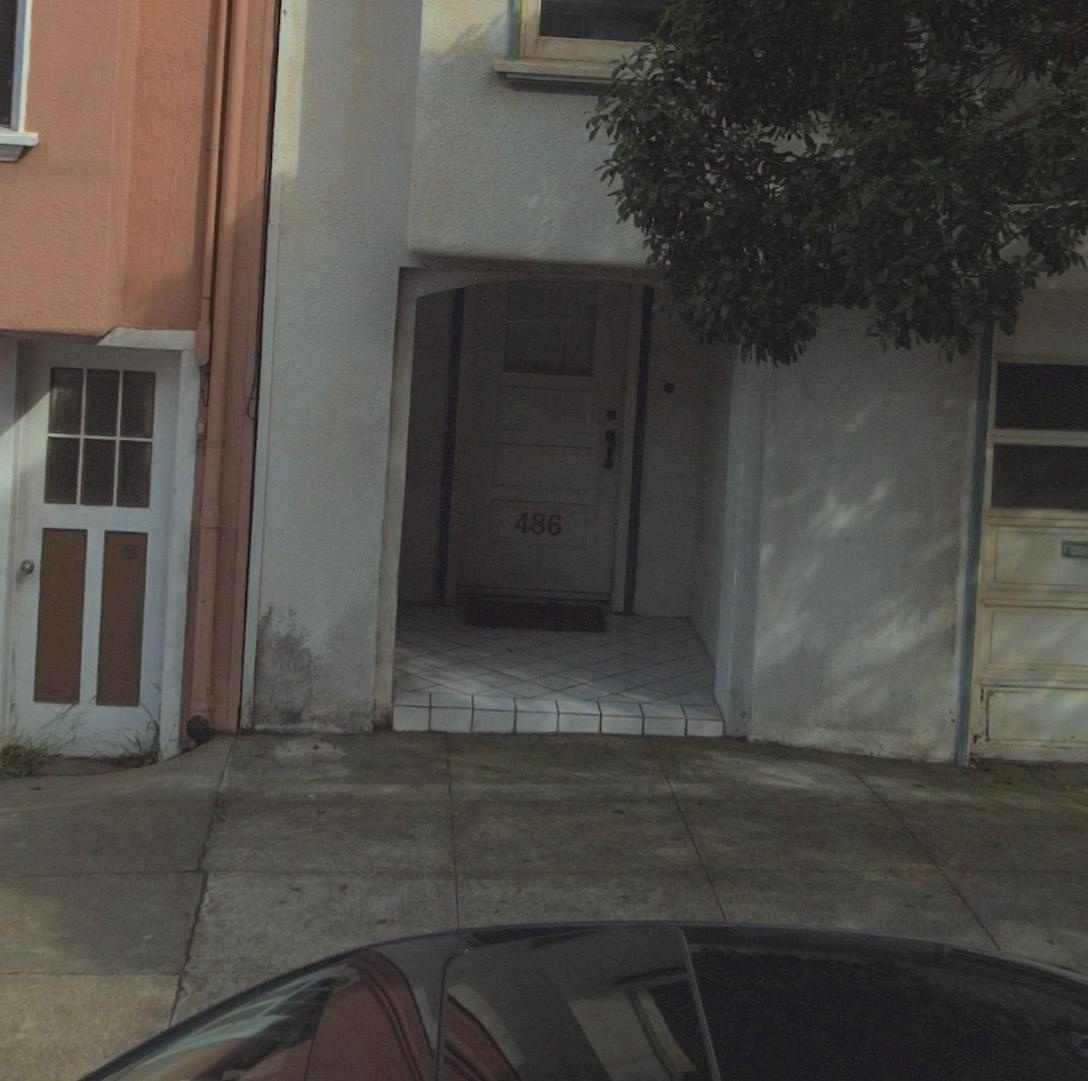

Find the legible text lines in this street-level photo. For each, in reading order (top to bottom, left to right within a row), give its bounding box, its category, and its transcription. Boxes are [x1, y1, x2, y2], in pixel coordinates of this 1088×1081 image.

[513, 510, 564, 537] StreetNumber: 486